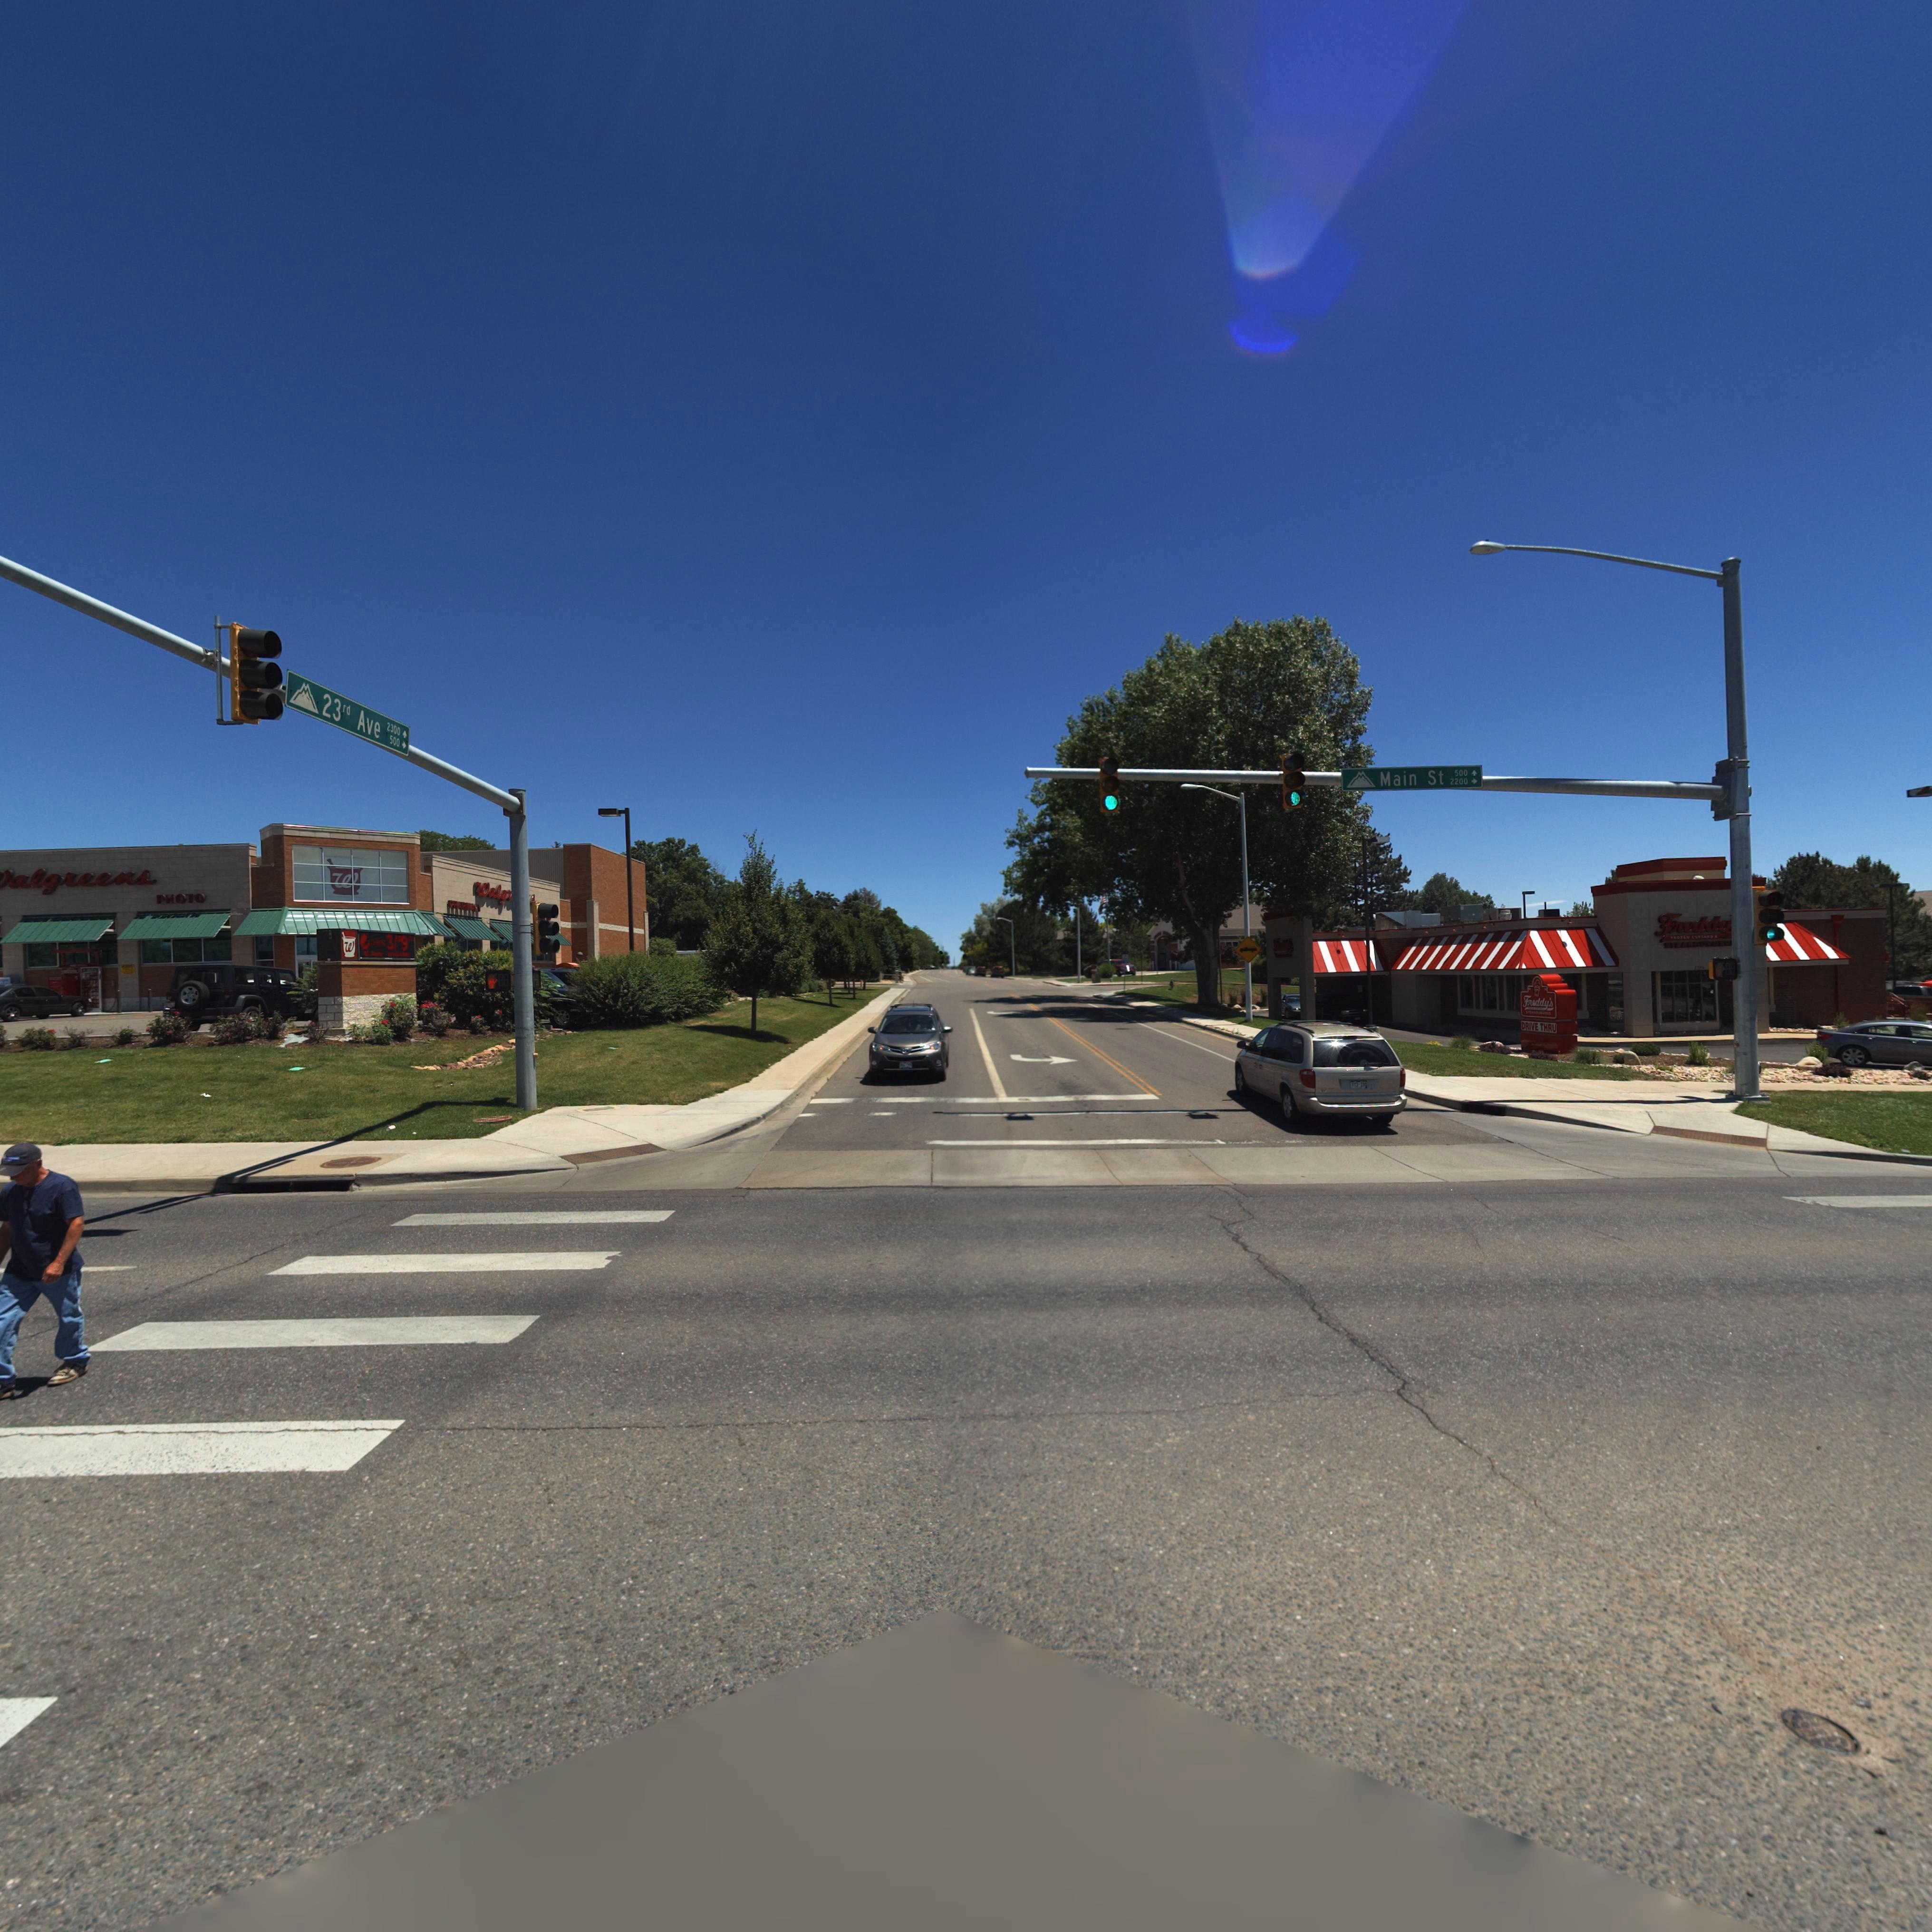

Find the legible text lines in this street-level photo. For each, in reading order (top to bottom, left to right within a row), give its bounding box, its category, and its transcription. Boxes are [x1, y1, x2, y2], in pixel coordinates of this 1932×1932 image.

[321, 693, 380, 739] StreetName: 23rd Ave
[386, 722, 401, 736] StreetNumberRange: 2300
[389, 734, 406, 748] StreetNumberRange: 500->
[1380, 769, 1444, 787] StreetName: Main St
[1454, 769, 1467, 776] StreetNumberRange: 500
[1450, 777, 1478, 785] StreetNumberRange: 2200->
[7, 868, 157, 896] BusinessName: algreens
[475, 881, 535, 905] BusinessName: Walgr***s
[1656, 911, 1731, 938] BusinessName: Freddy